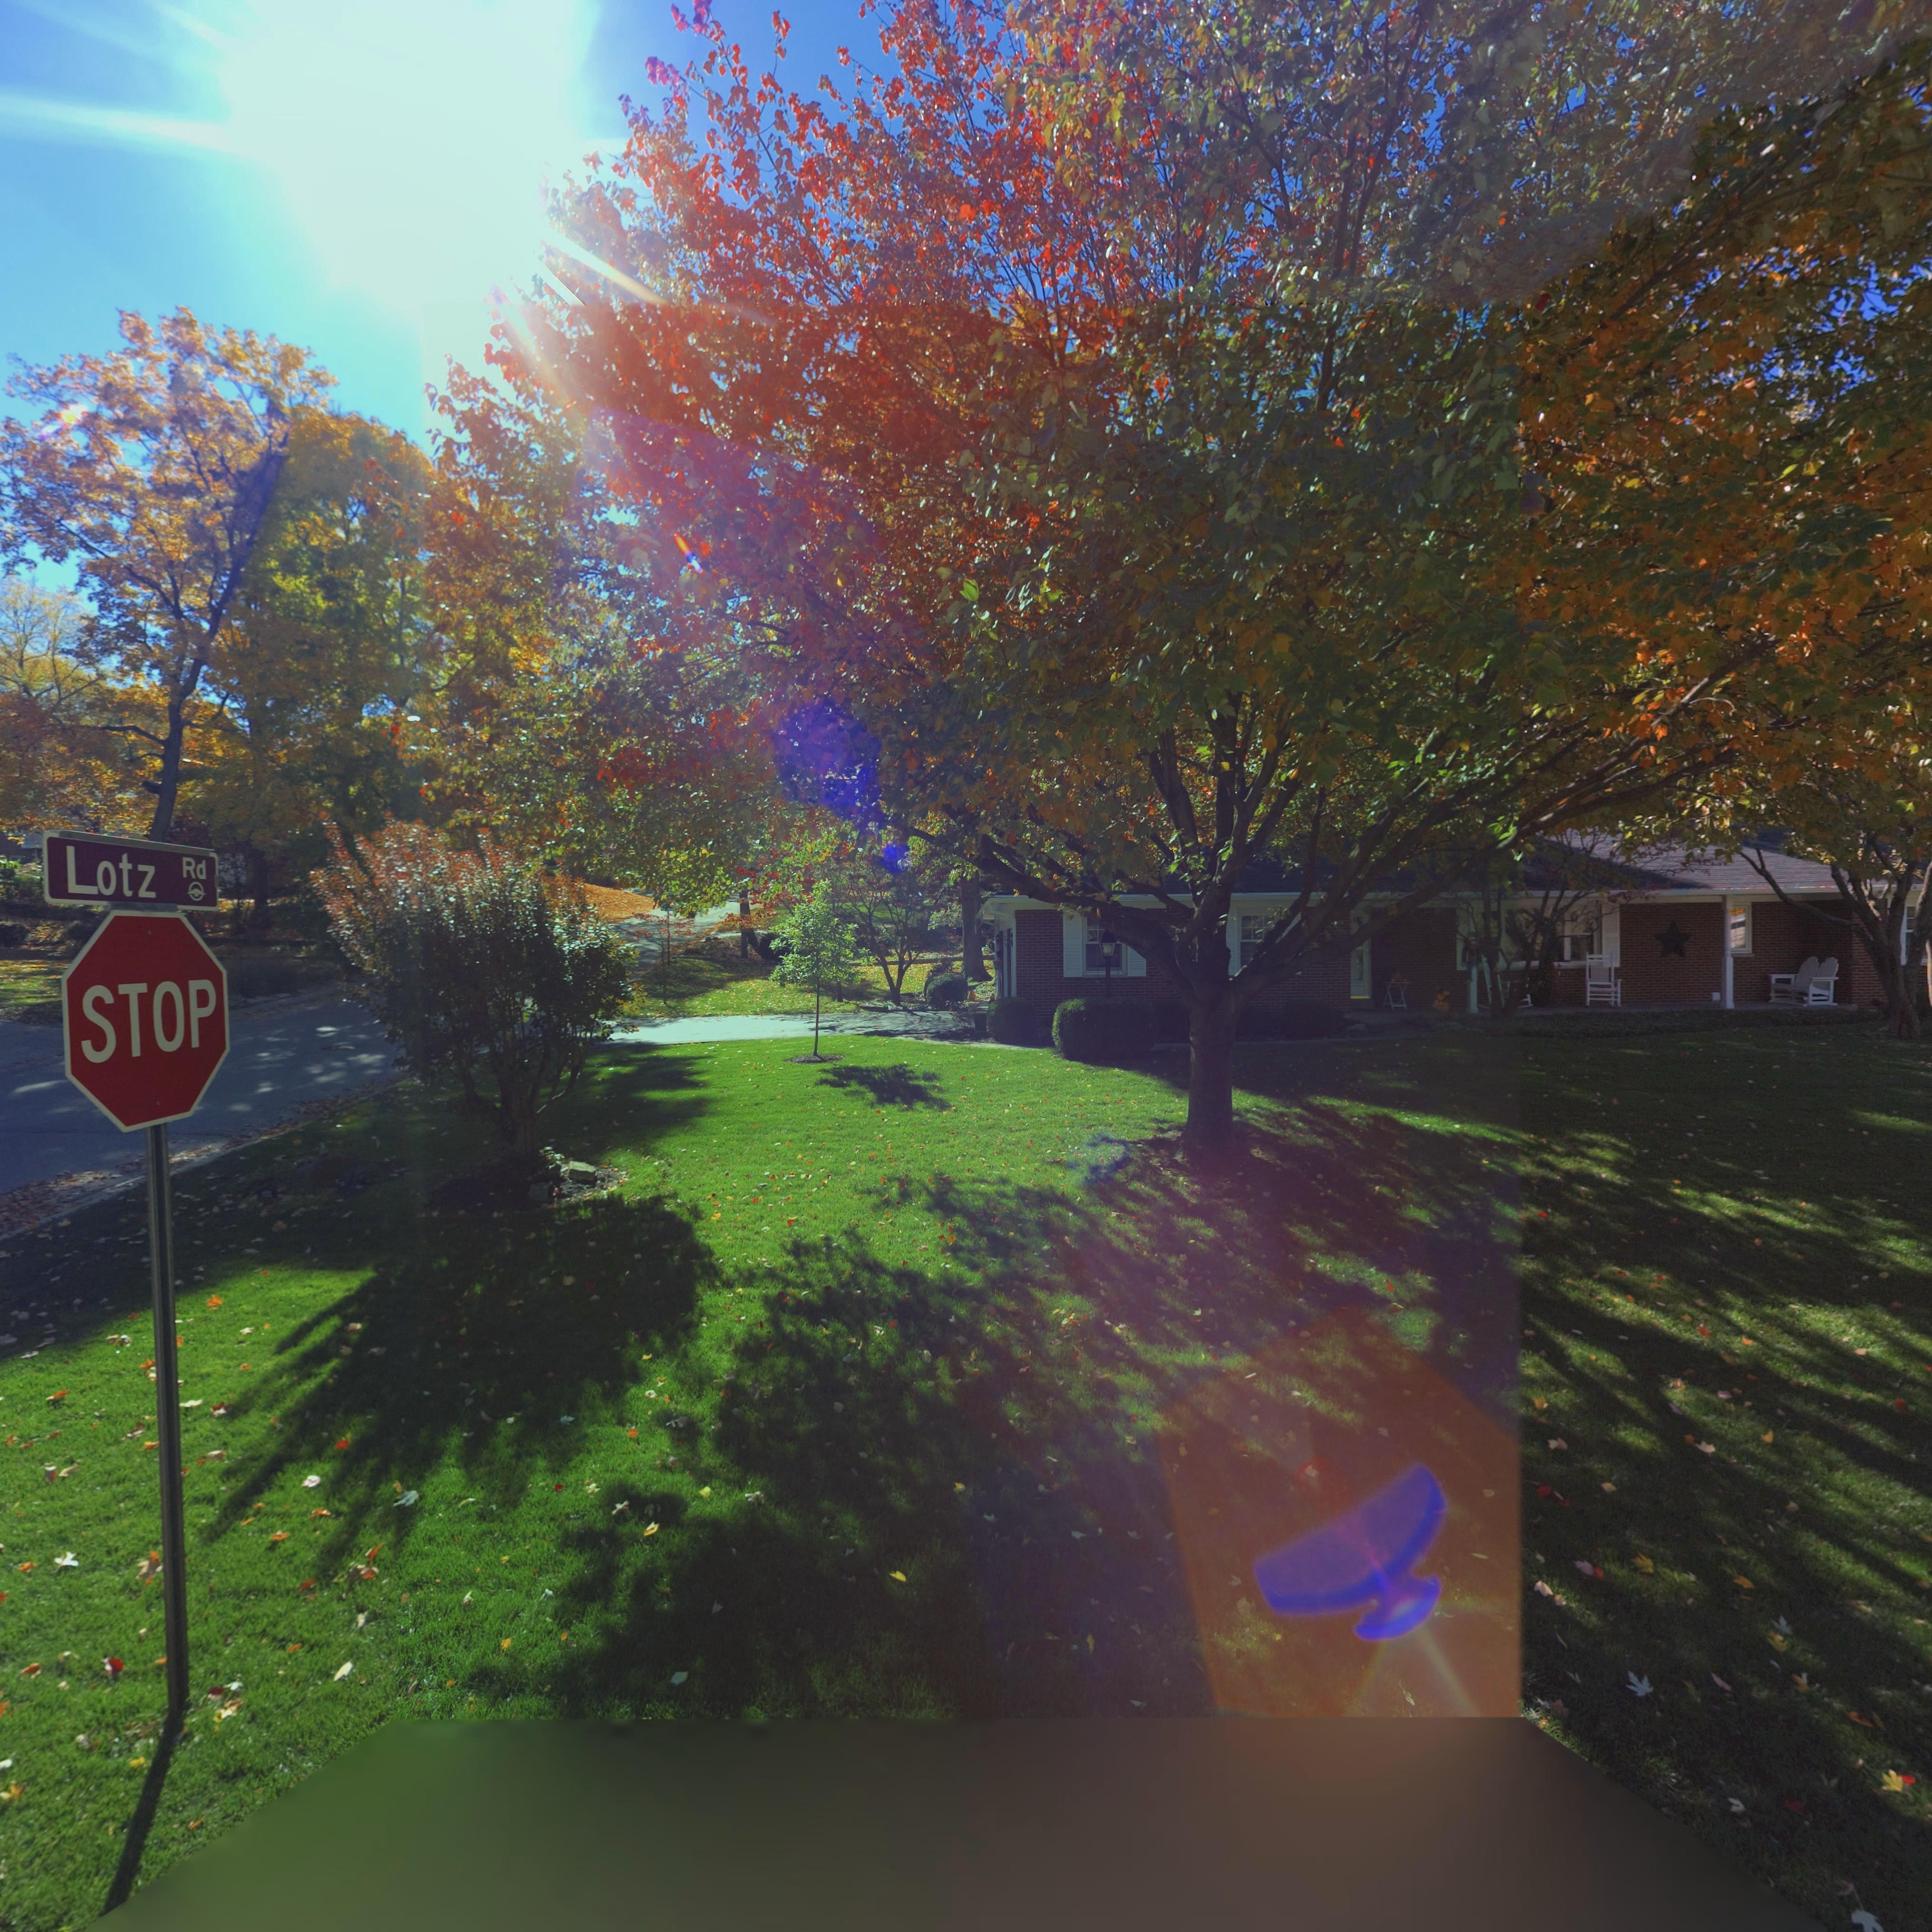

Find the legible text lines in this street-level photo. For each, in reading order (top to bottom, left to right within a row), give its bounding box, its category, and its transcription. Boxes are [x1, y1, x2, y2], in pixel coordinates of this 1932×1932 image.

[1319, 936, 1335, 944] StreetNumber: 400